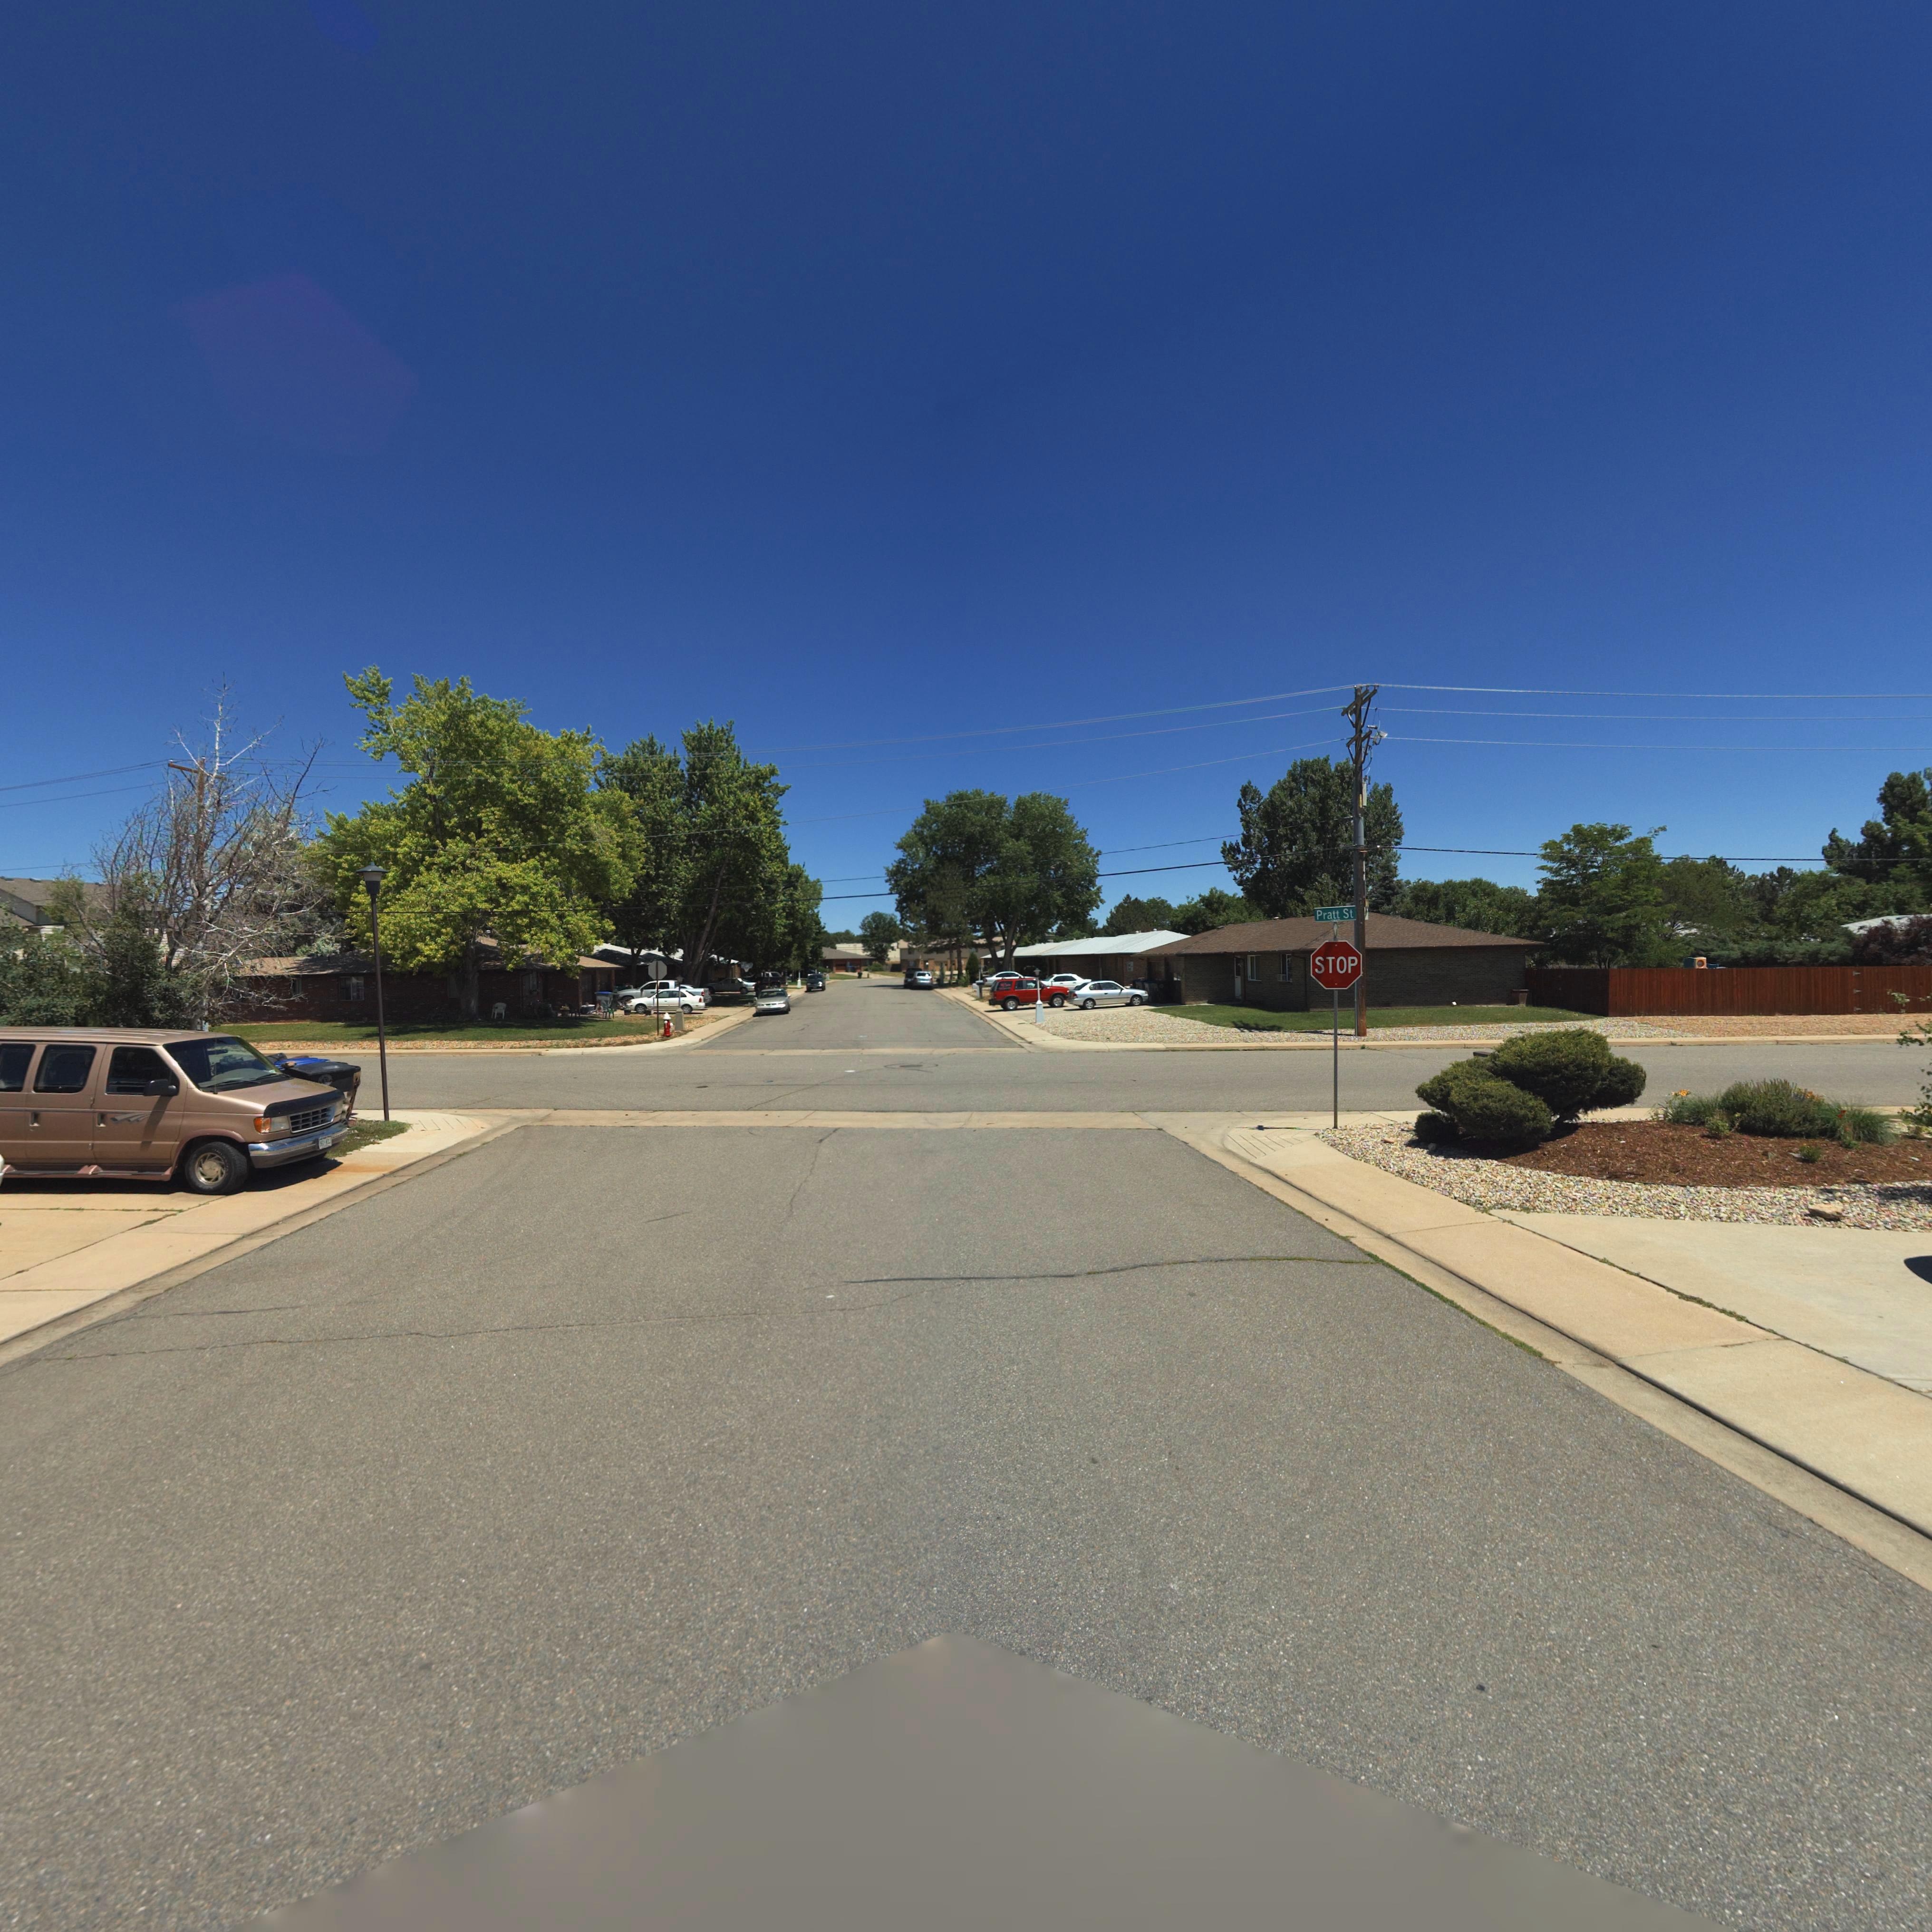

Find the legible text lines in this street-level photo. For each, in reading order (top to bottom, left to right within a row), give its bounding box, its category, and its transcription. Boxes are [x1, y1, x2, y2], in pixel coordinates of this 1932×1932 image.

[1315, 908, 1354, 920] StreetName: Pratt St